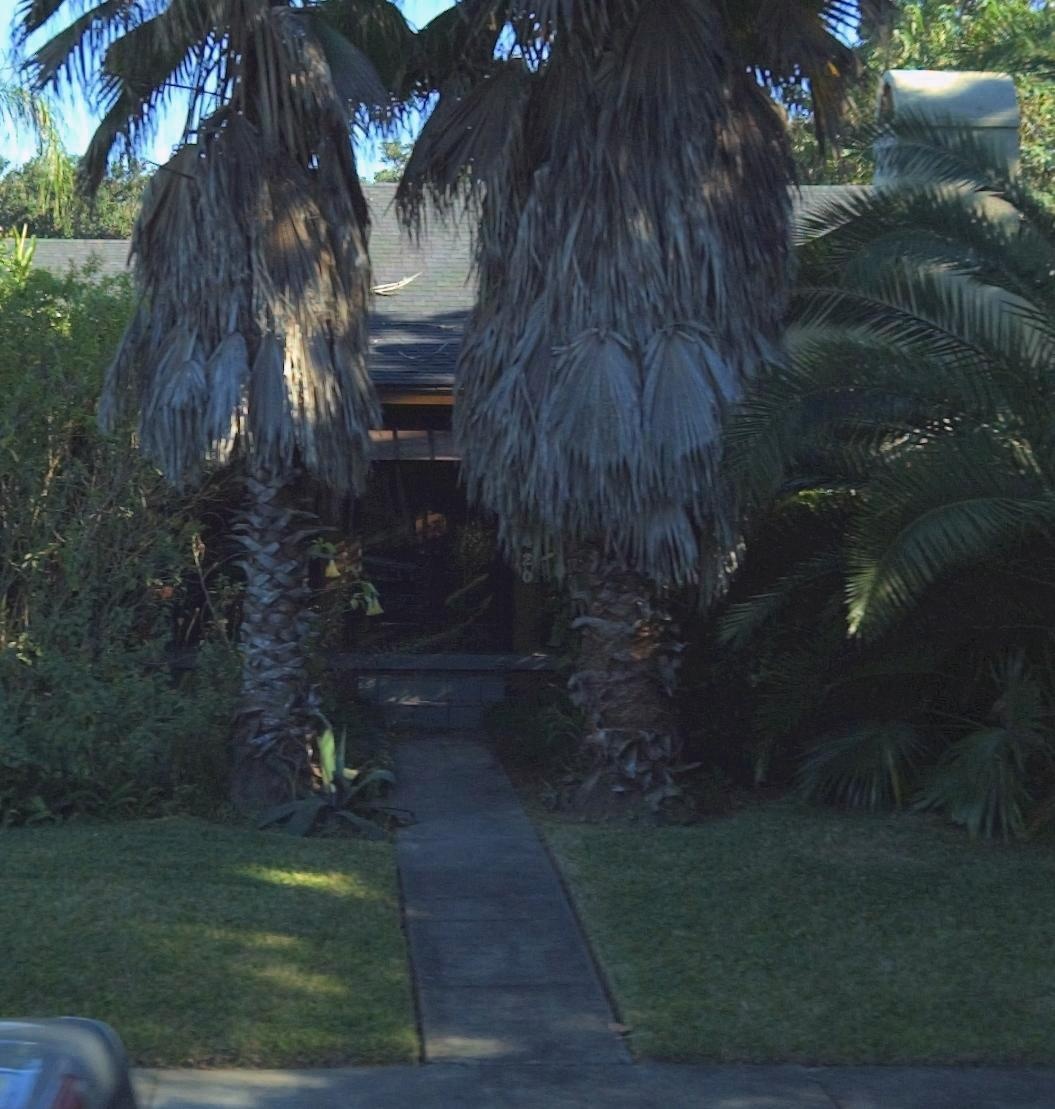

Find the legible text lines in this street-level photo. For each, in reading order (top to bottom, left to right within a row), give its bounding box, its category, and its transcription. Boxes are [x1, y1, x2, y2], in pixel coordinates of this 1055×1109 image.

[520, 531, 535, 585] StreetNumber: *20